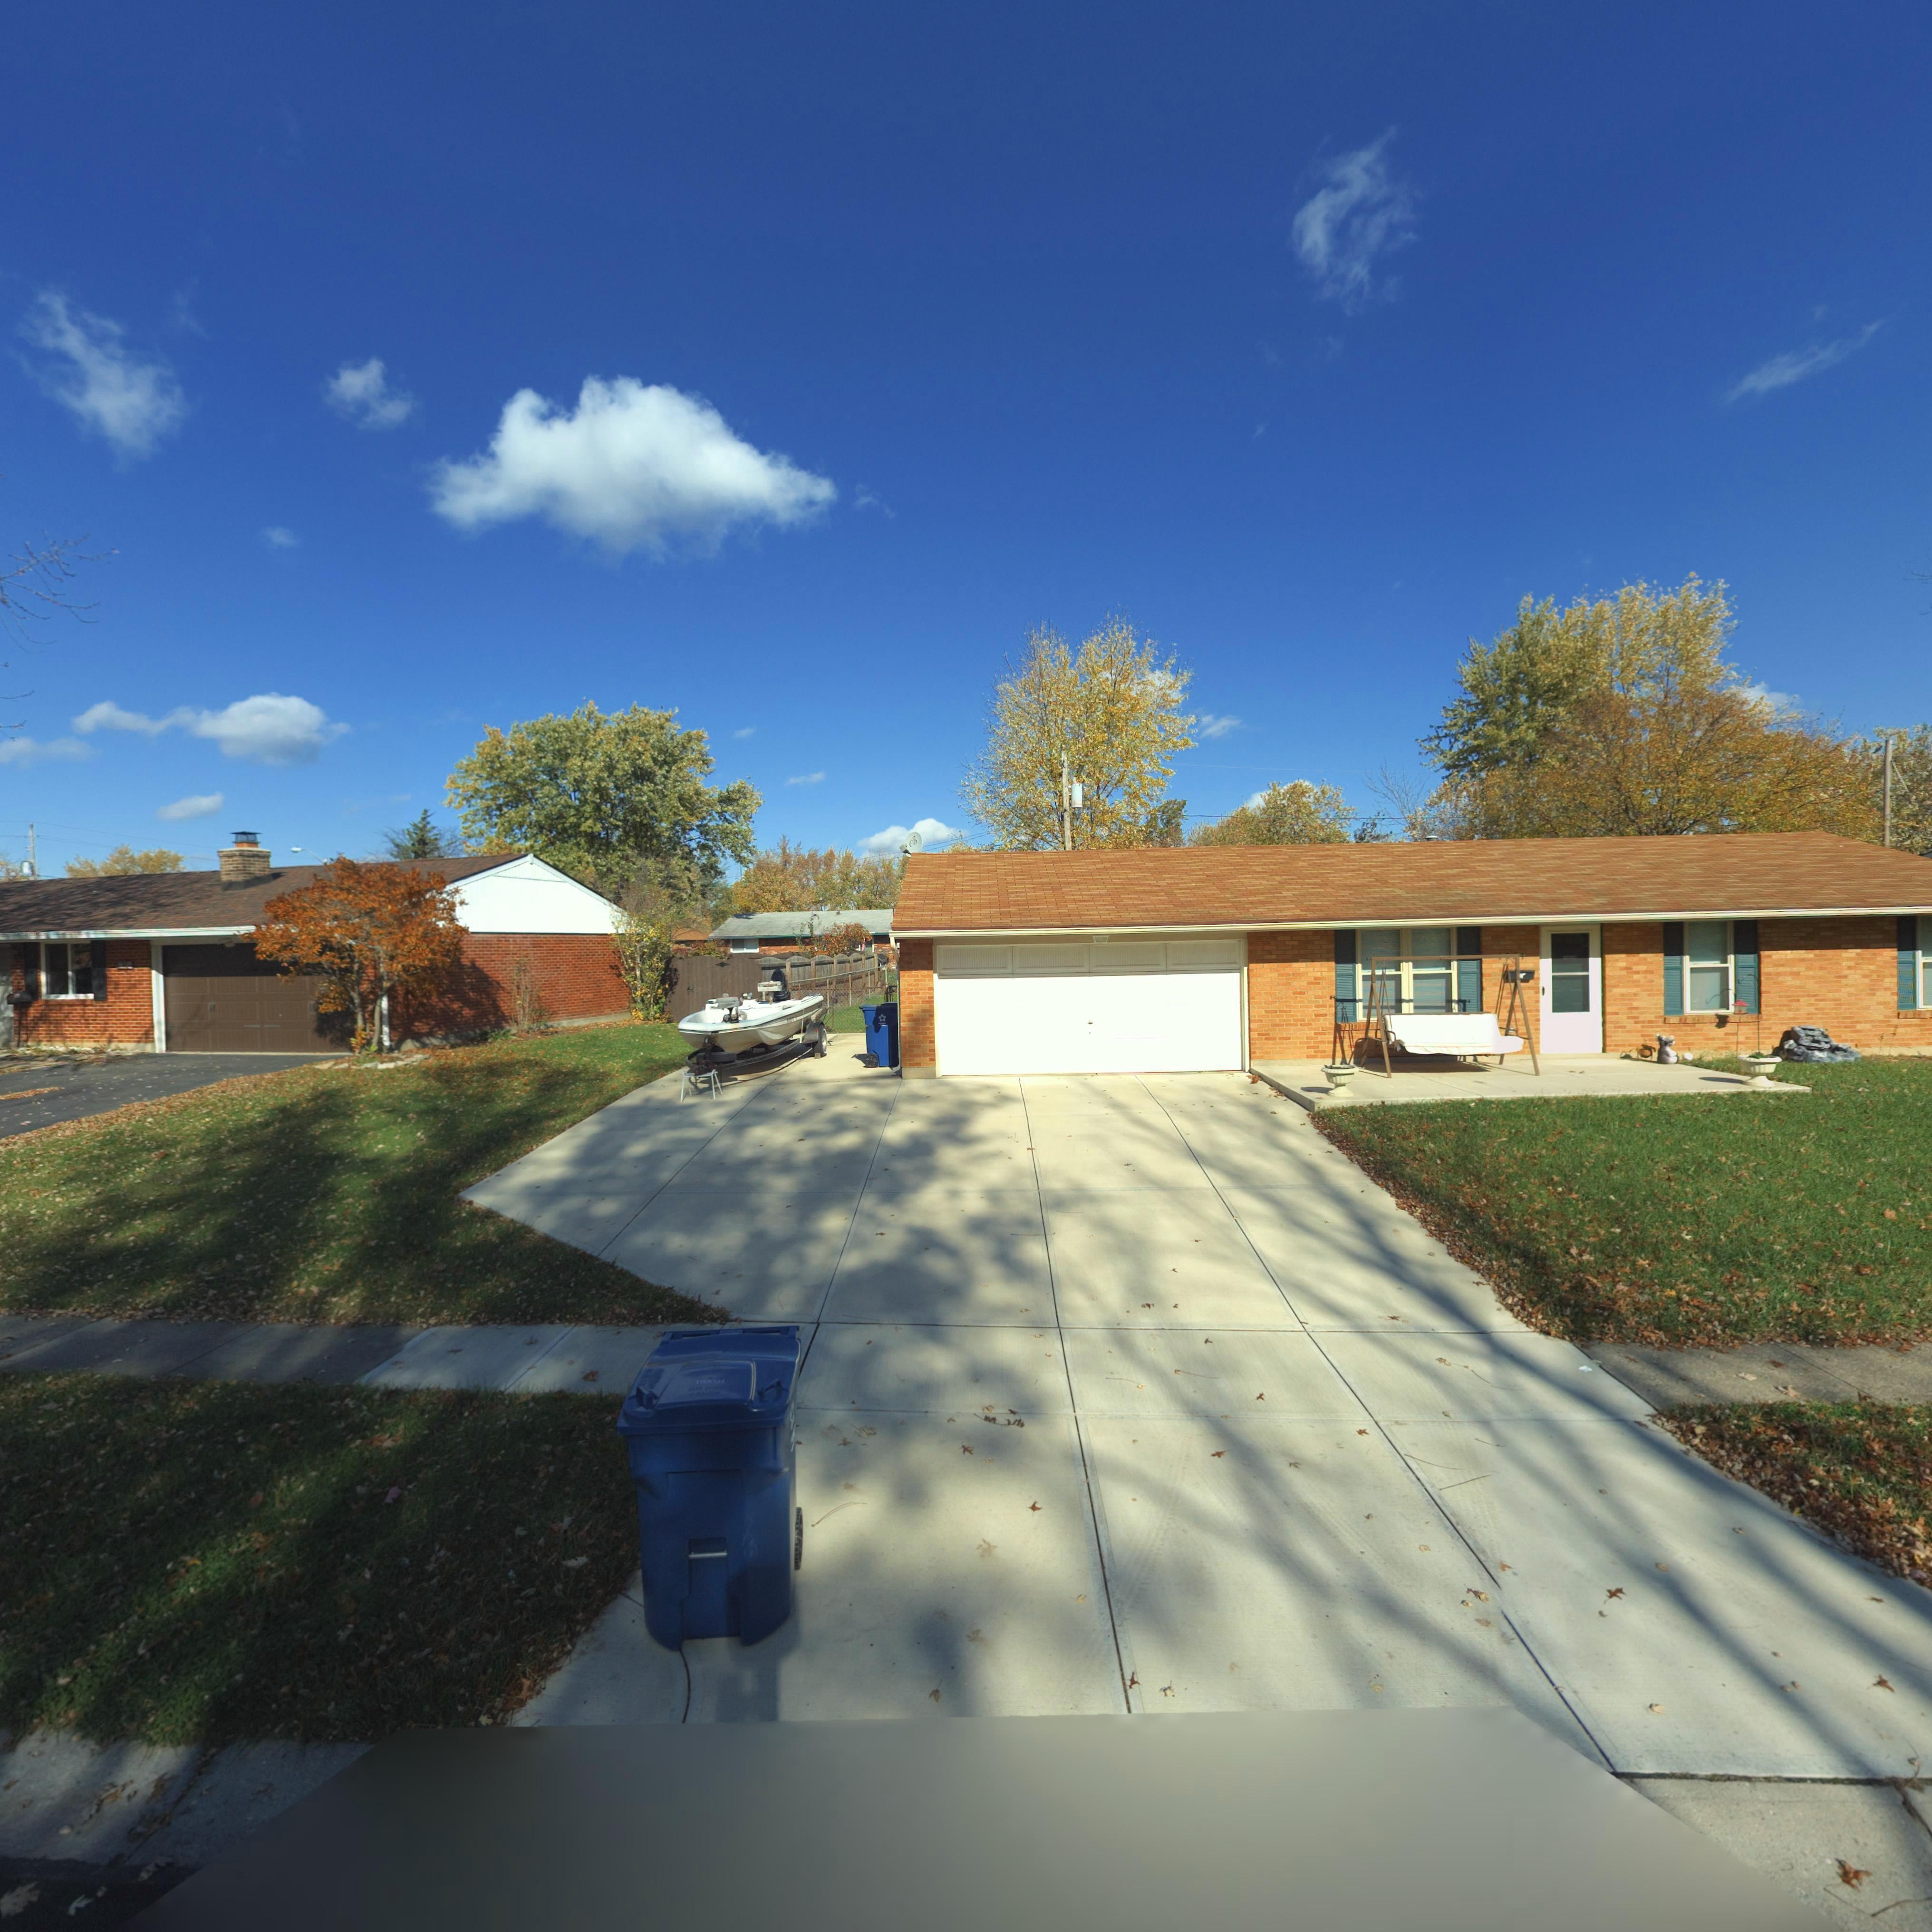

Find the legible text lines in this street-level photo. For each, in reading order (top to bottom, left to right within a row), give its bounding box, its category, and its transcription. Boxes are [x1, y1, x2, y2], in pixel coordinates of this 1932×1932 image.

[1520, 952, 1525, 961] StreetNumber: 1